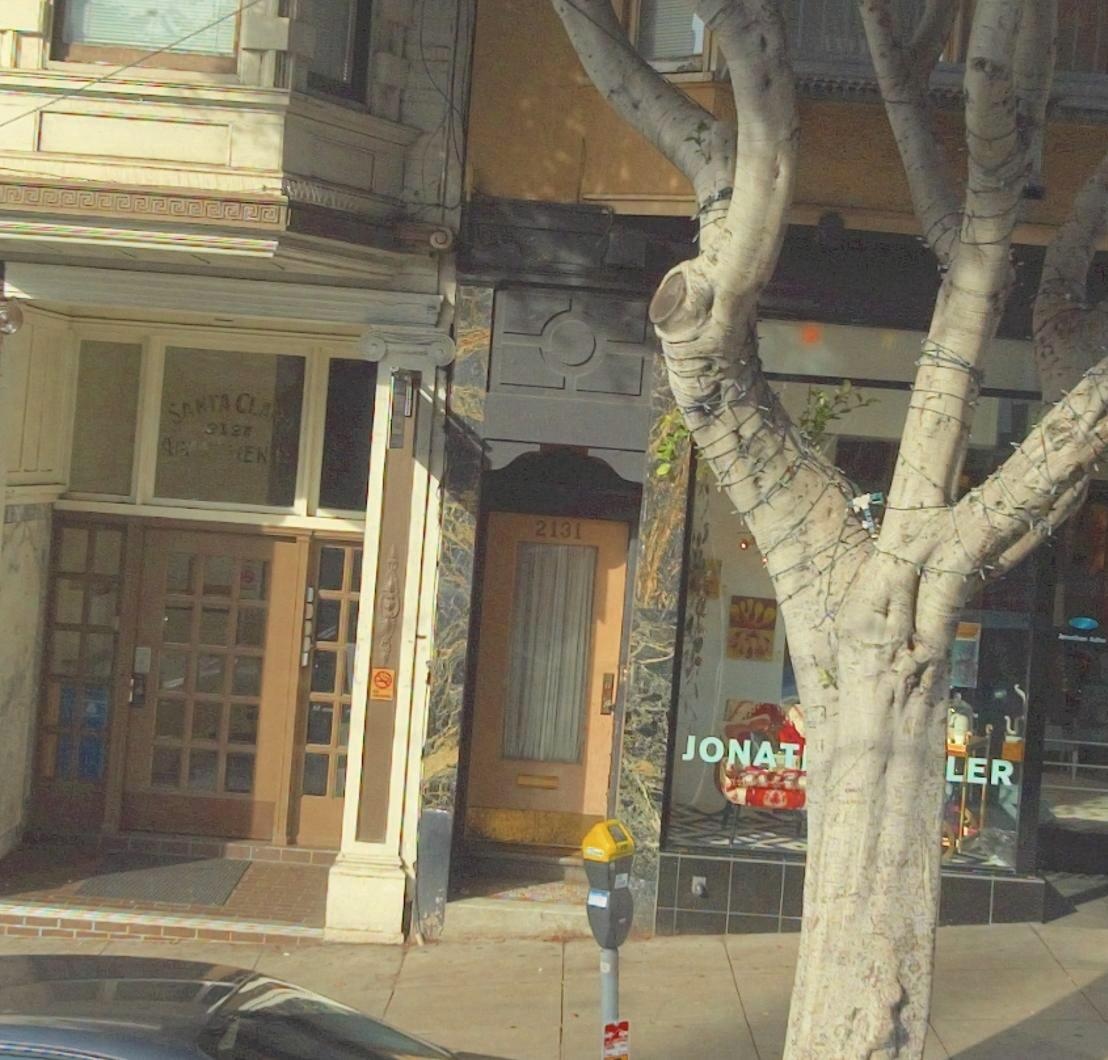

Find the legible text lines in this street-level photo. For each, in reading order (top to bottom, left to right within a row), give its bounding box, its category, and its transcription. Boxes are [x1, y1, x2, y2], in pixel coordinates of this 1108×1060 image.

[162, 390, 301, 436] BusinessName: SANTA CLARA
[533, 516, 585, 542] StreetNumber: 2131
[678, 731, 803, 772] BusinessName: JONAT
[944, 752, 1017, 789] BusinessName: LER